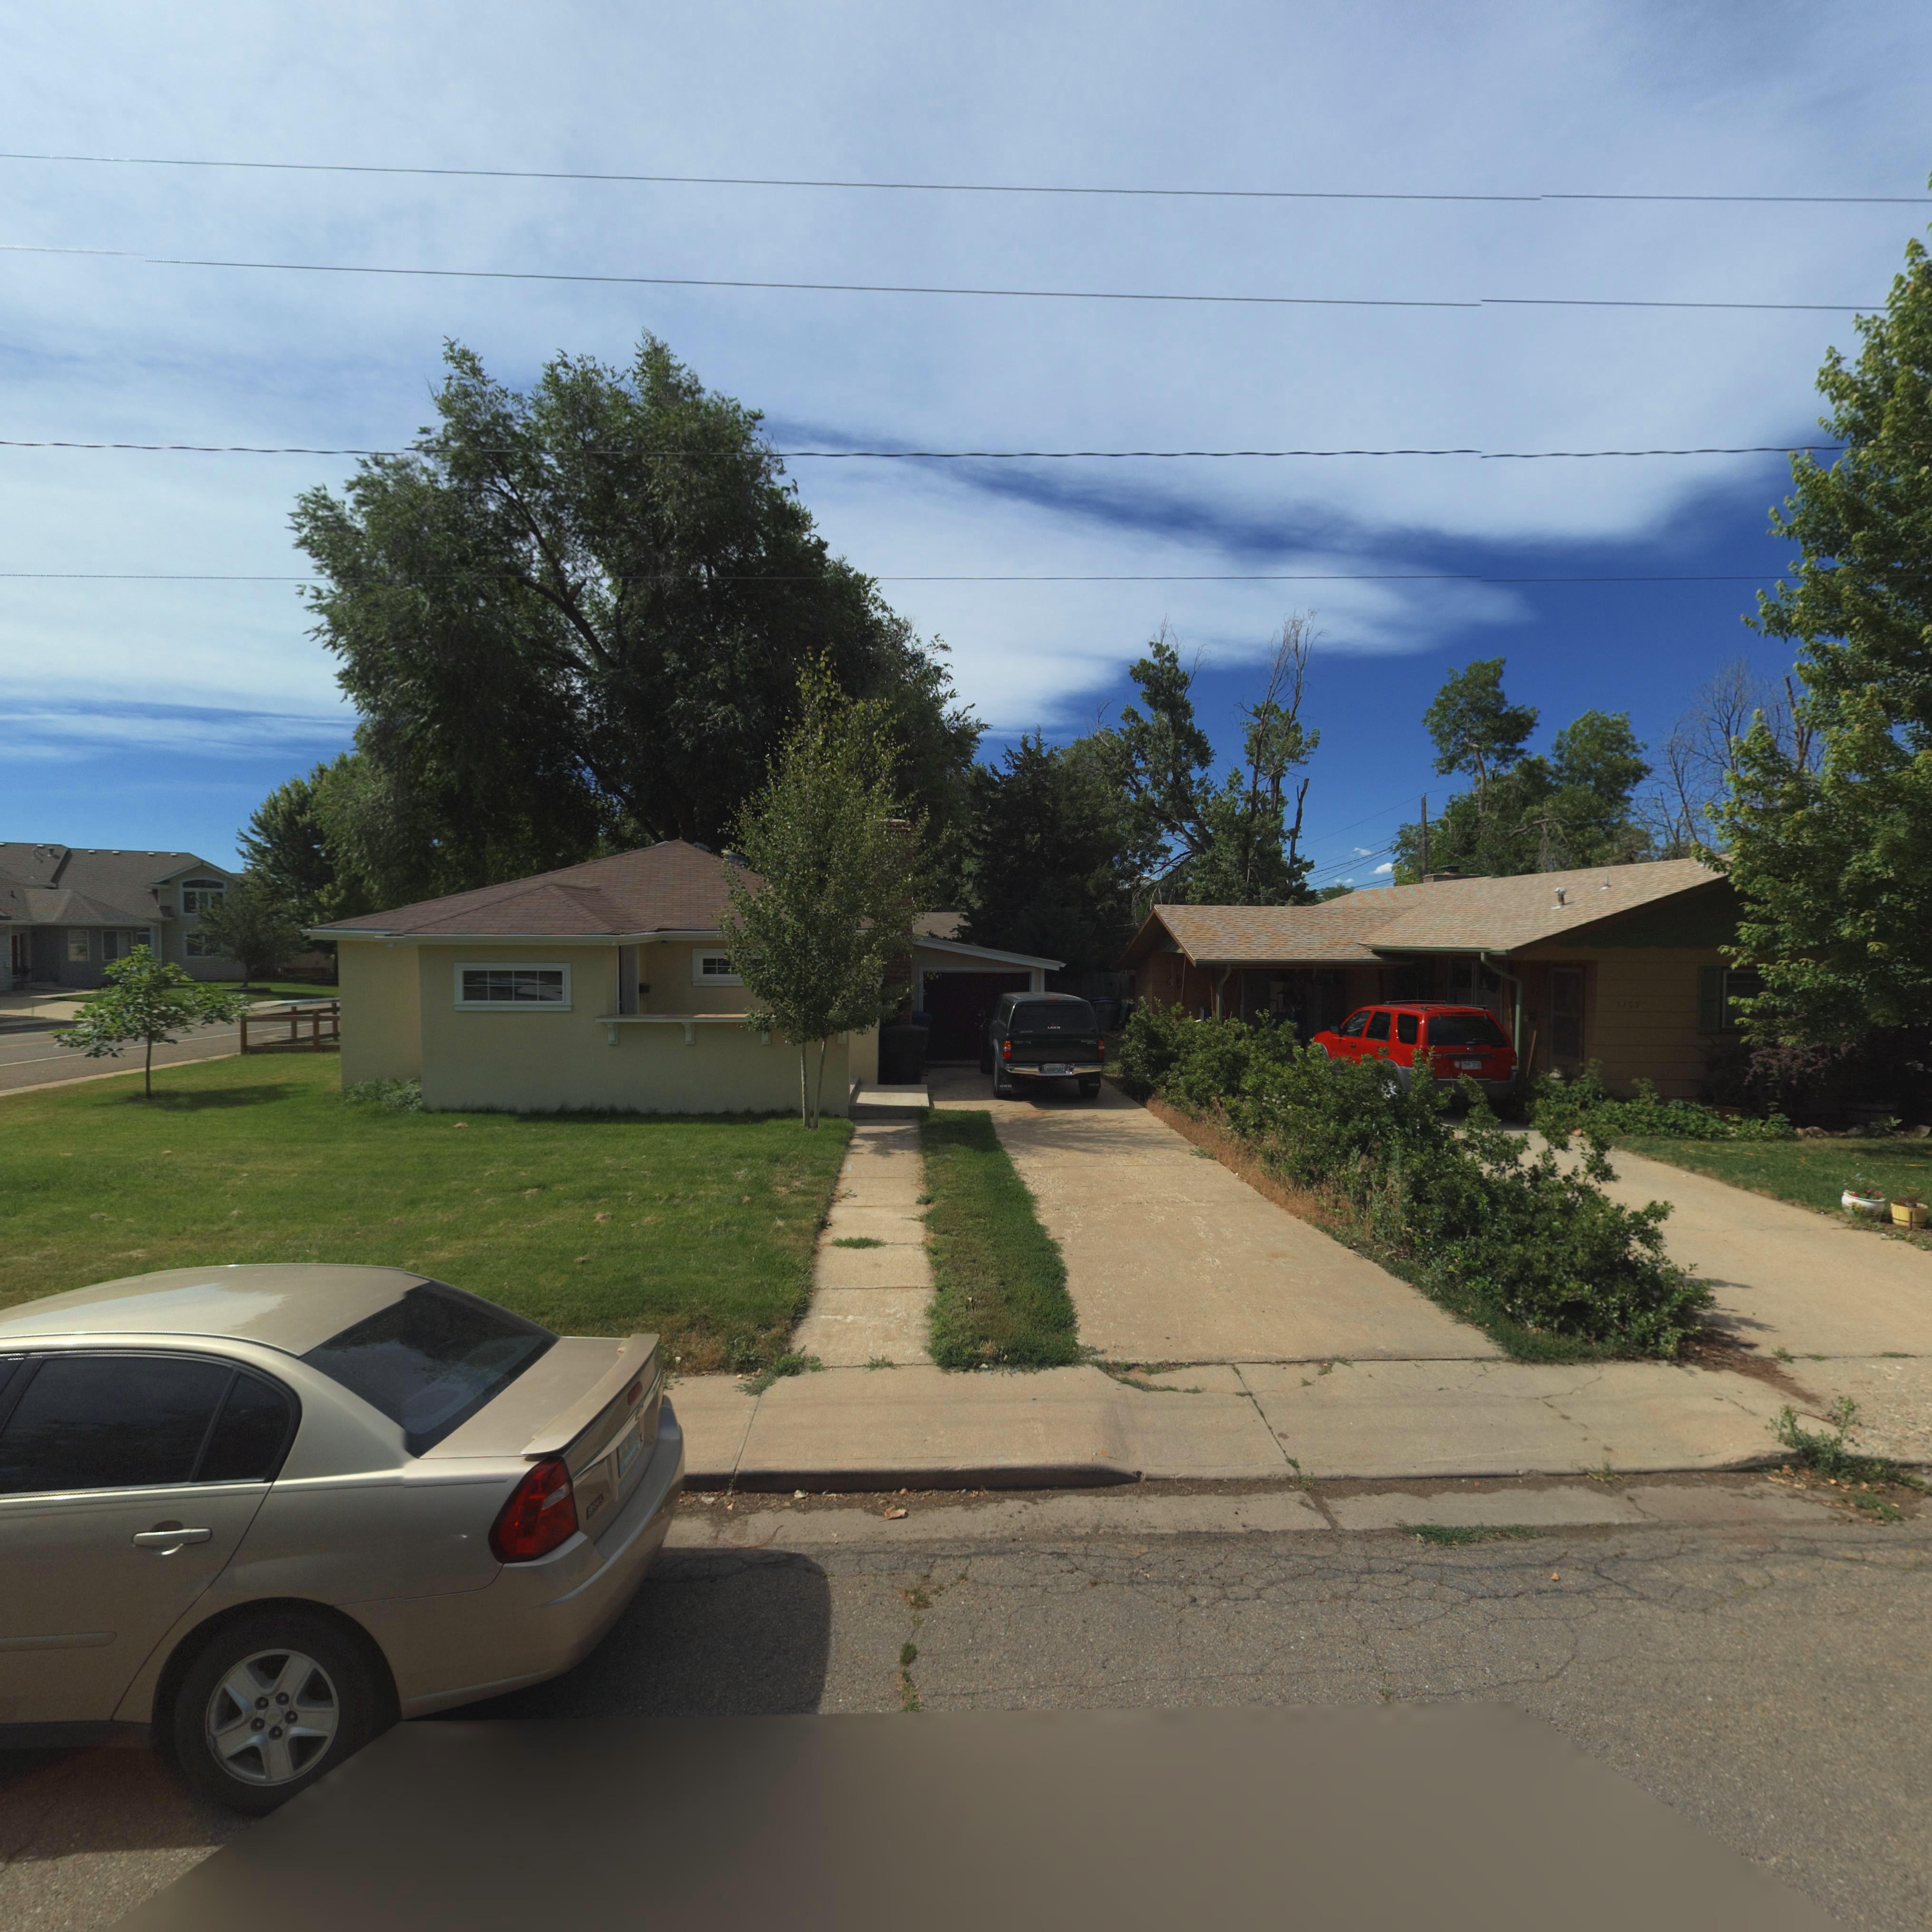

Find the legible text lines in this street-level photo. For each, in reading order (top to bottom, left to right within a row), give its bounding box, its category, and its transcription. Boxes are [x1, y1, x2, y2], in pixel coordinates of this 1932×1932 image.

[1617, 1000, 1640, 1009] StreetNumber: 130*